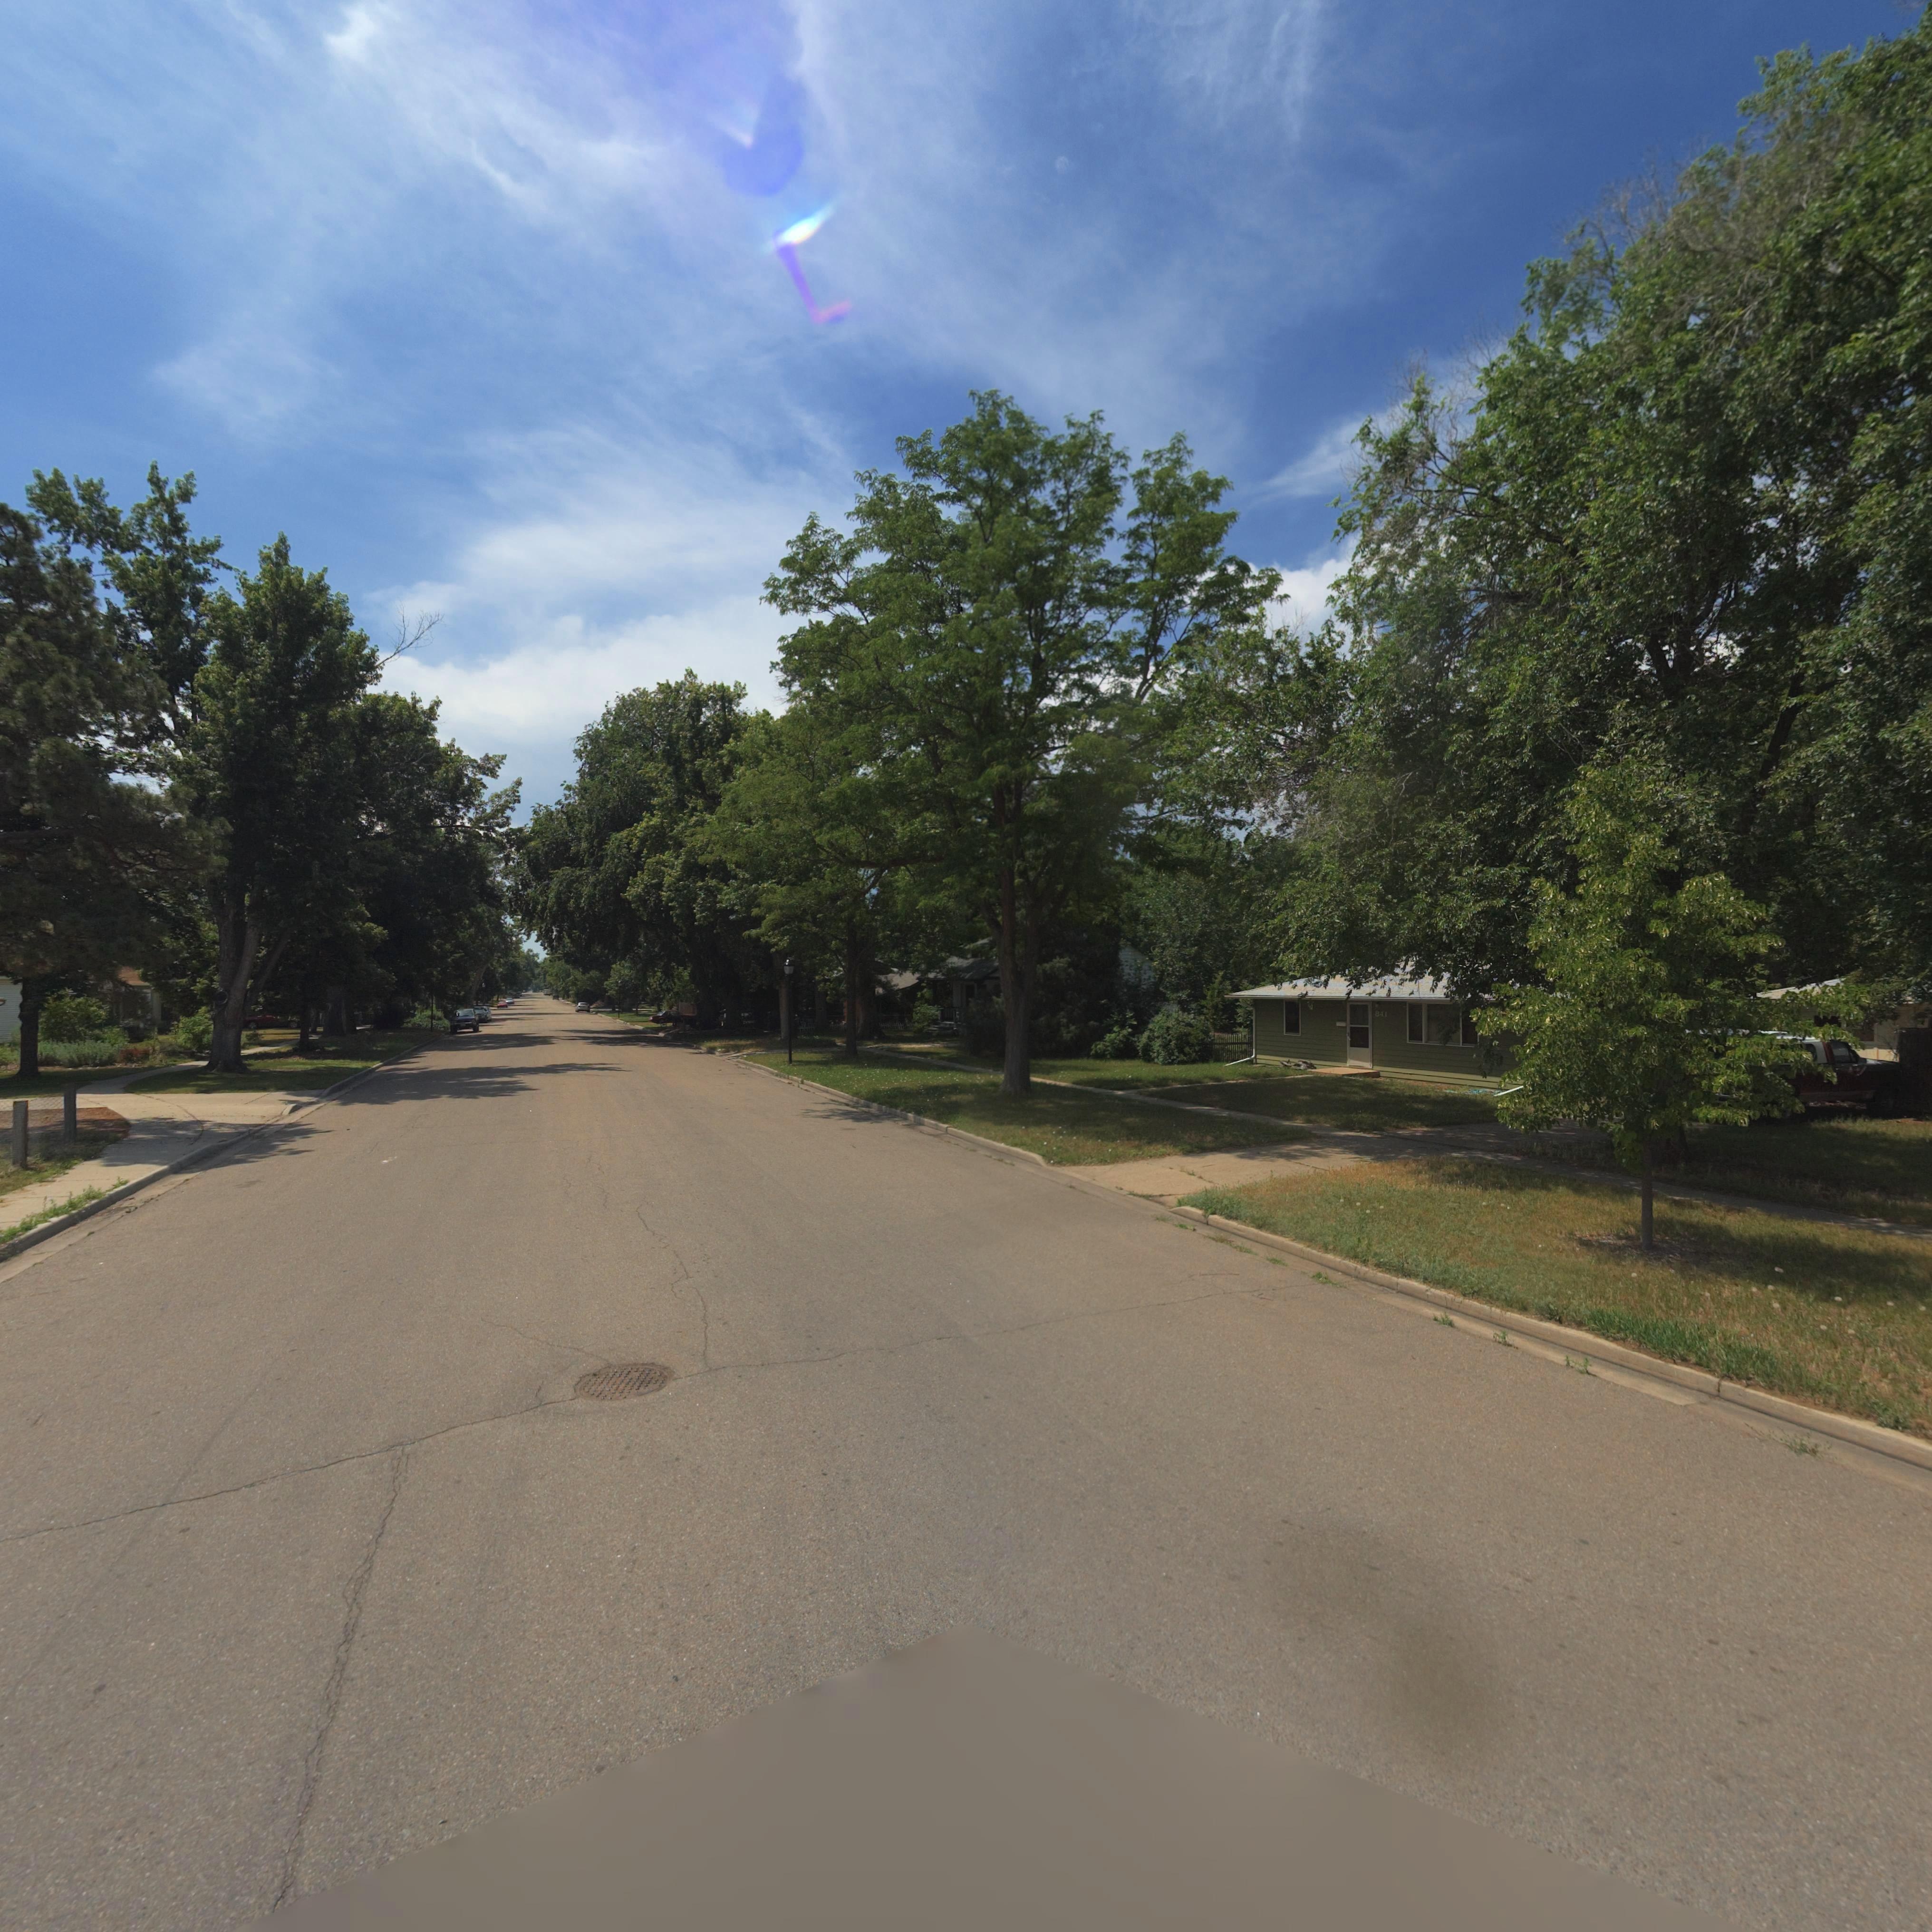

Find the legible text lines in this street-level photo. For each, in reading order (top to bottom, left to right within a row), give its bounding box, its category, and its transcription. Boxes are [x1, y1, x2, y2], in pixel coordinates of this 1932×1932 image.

[1374, 1010, 1388, 1017] StreetNumber: 841